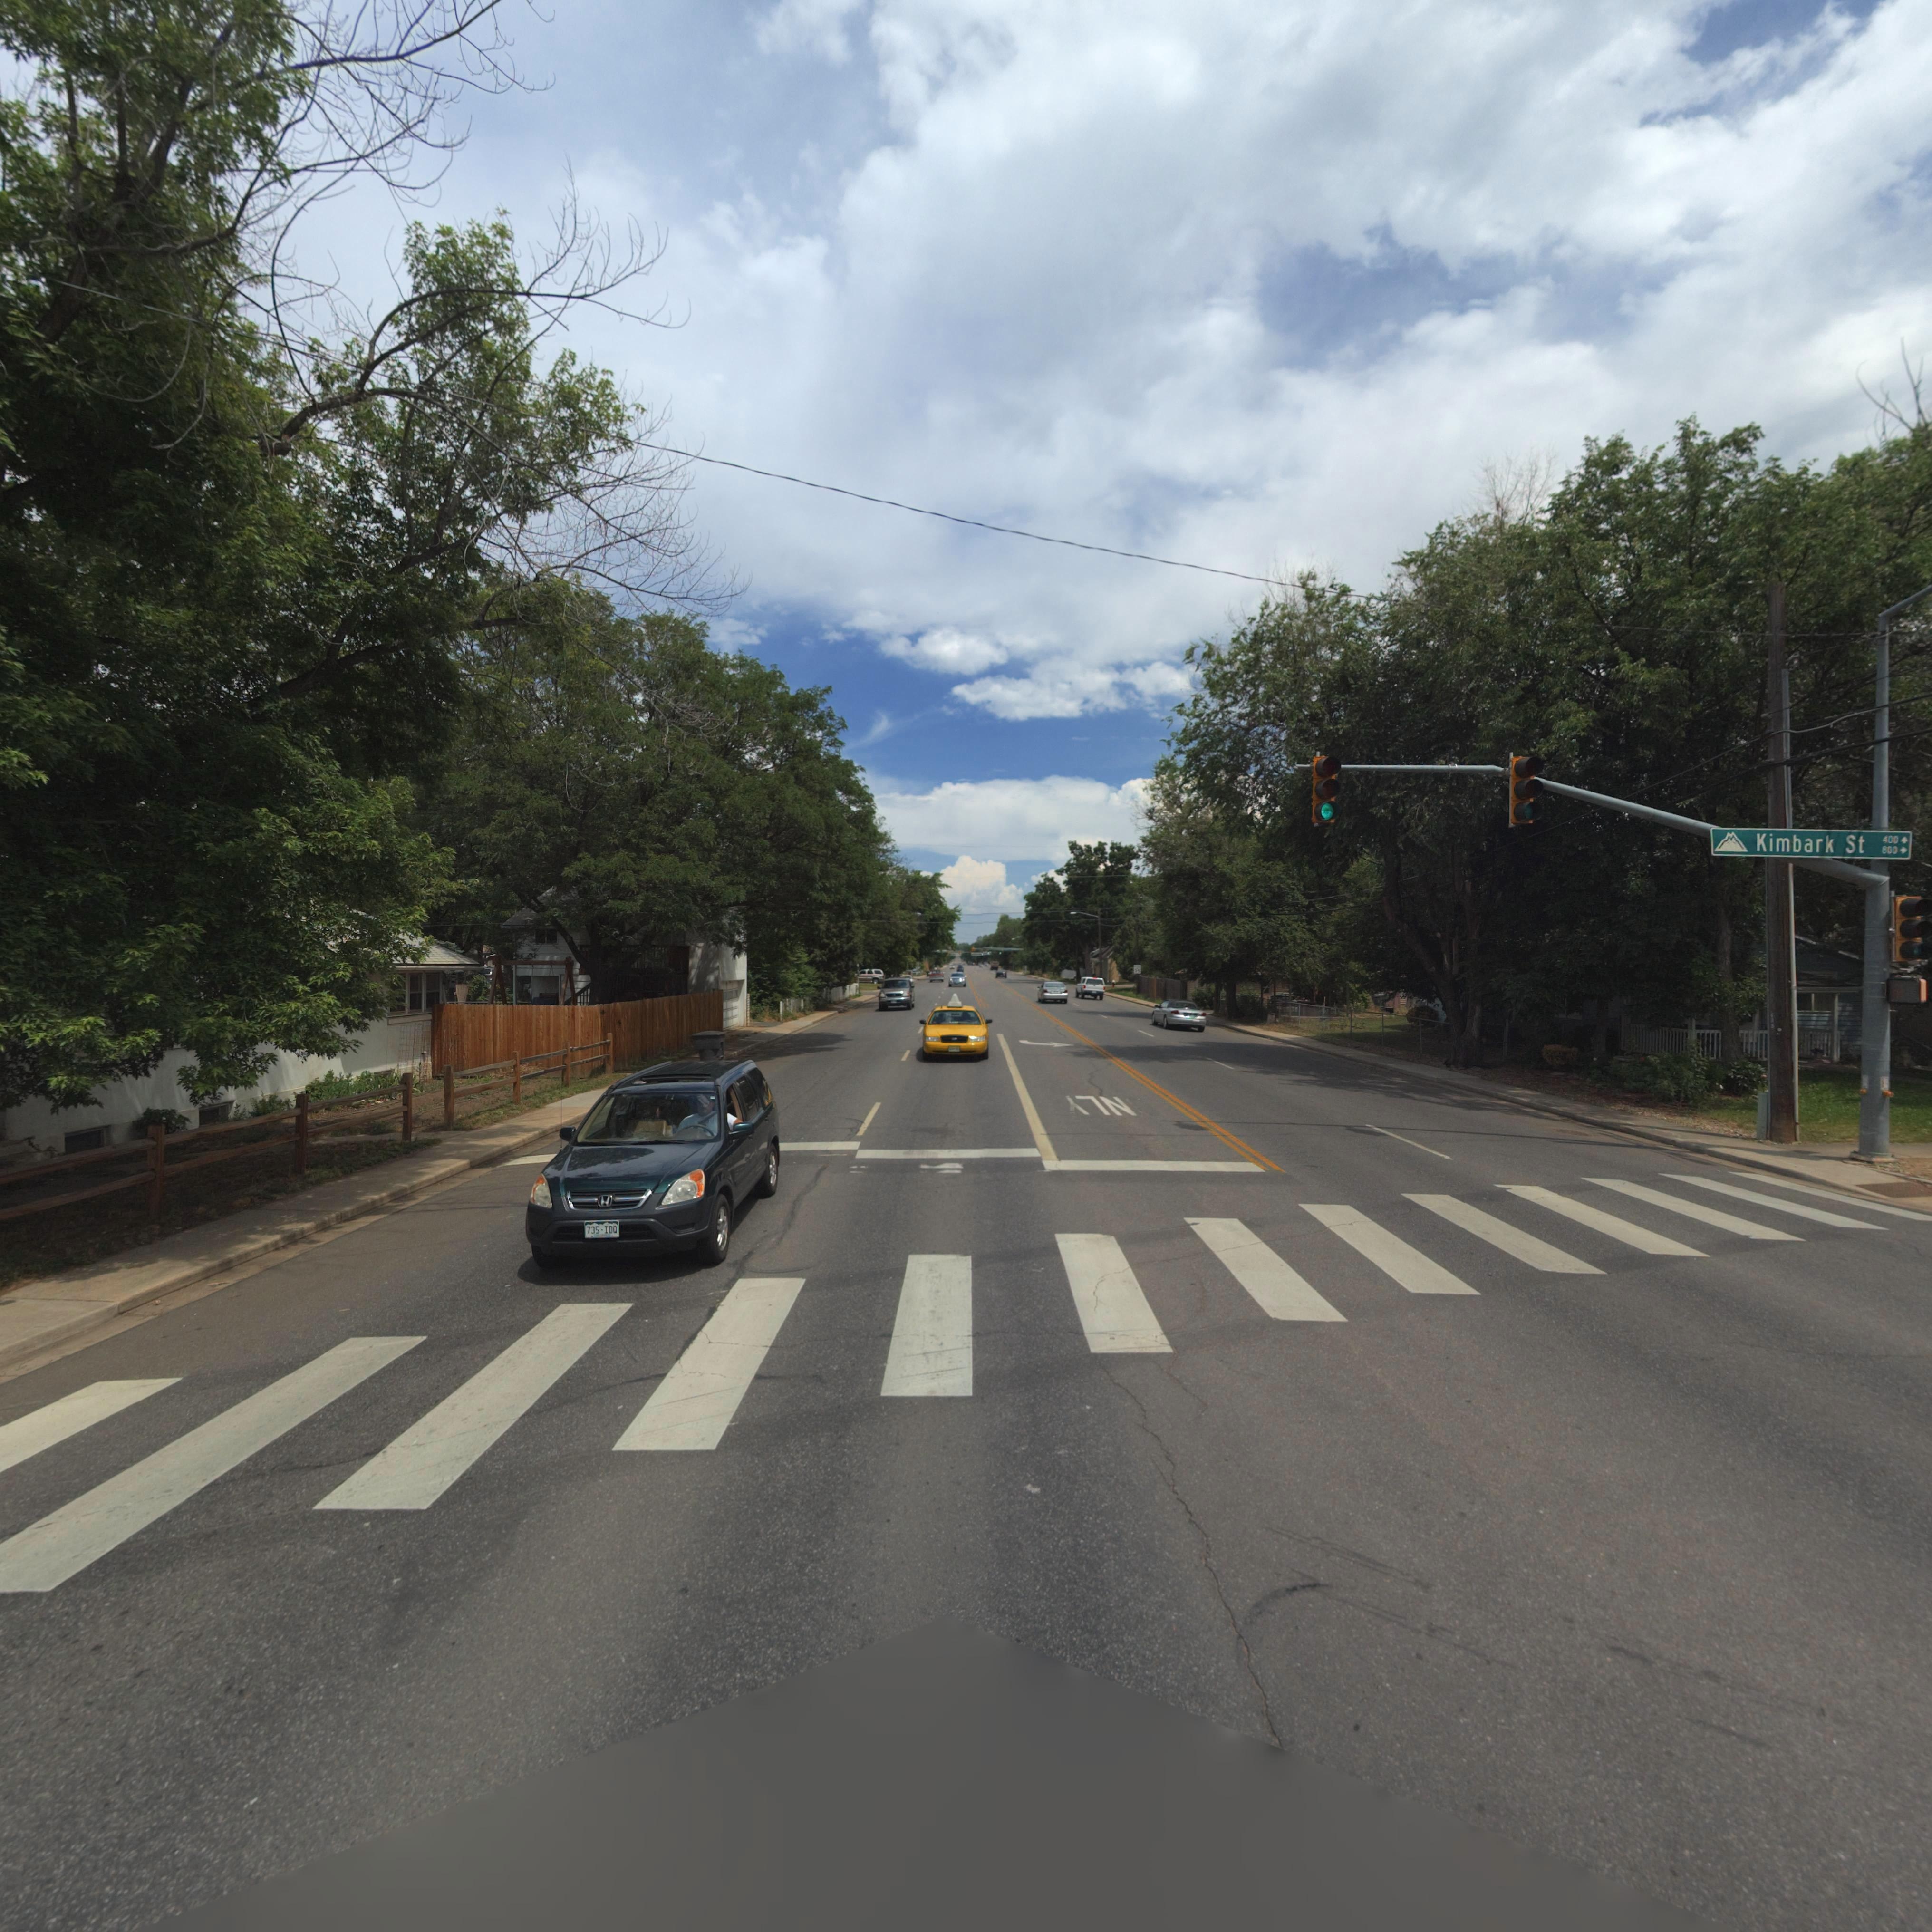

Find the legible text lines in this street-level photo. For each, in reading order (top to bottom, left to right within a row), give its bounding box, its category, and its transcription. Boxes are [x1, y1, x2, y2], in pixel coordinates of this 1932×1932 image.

[1756, 832, 1864, 854] StreetName: Kimbark St
[1882, 835, 1899, 844] StreetNumberRange: 400
[1881, 845, 1908, 854] StreetNumberRange: 800->